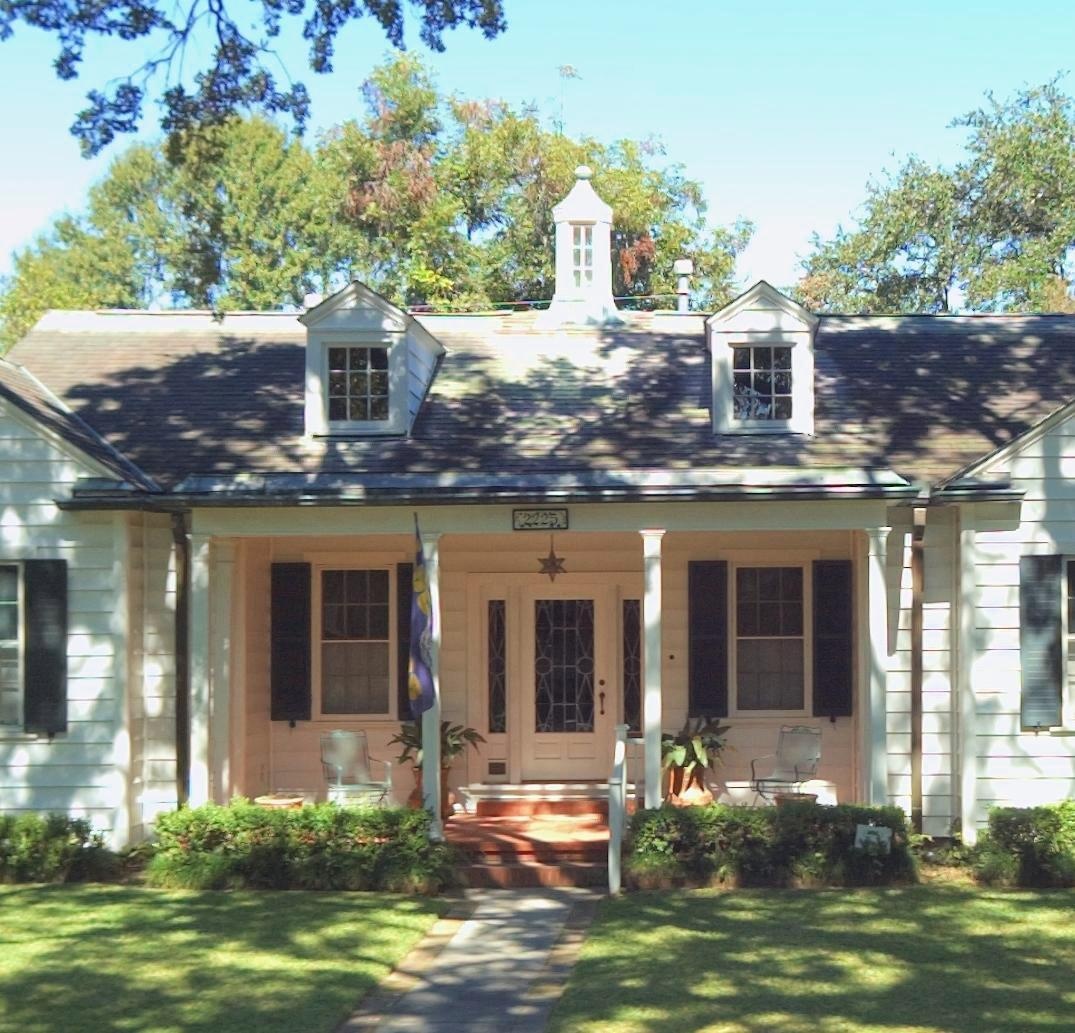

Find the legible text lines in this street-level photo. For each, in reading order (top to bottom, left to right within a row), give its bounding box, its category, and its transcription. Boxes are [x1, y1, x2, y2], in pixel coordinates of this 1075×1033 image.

[520, 511, 560, 528] StreetNumber: 2225